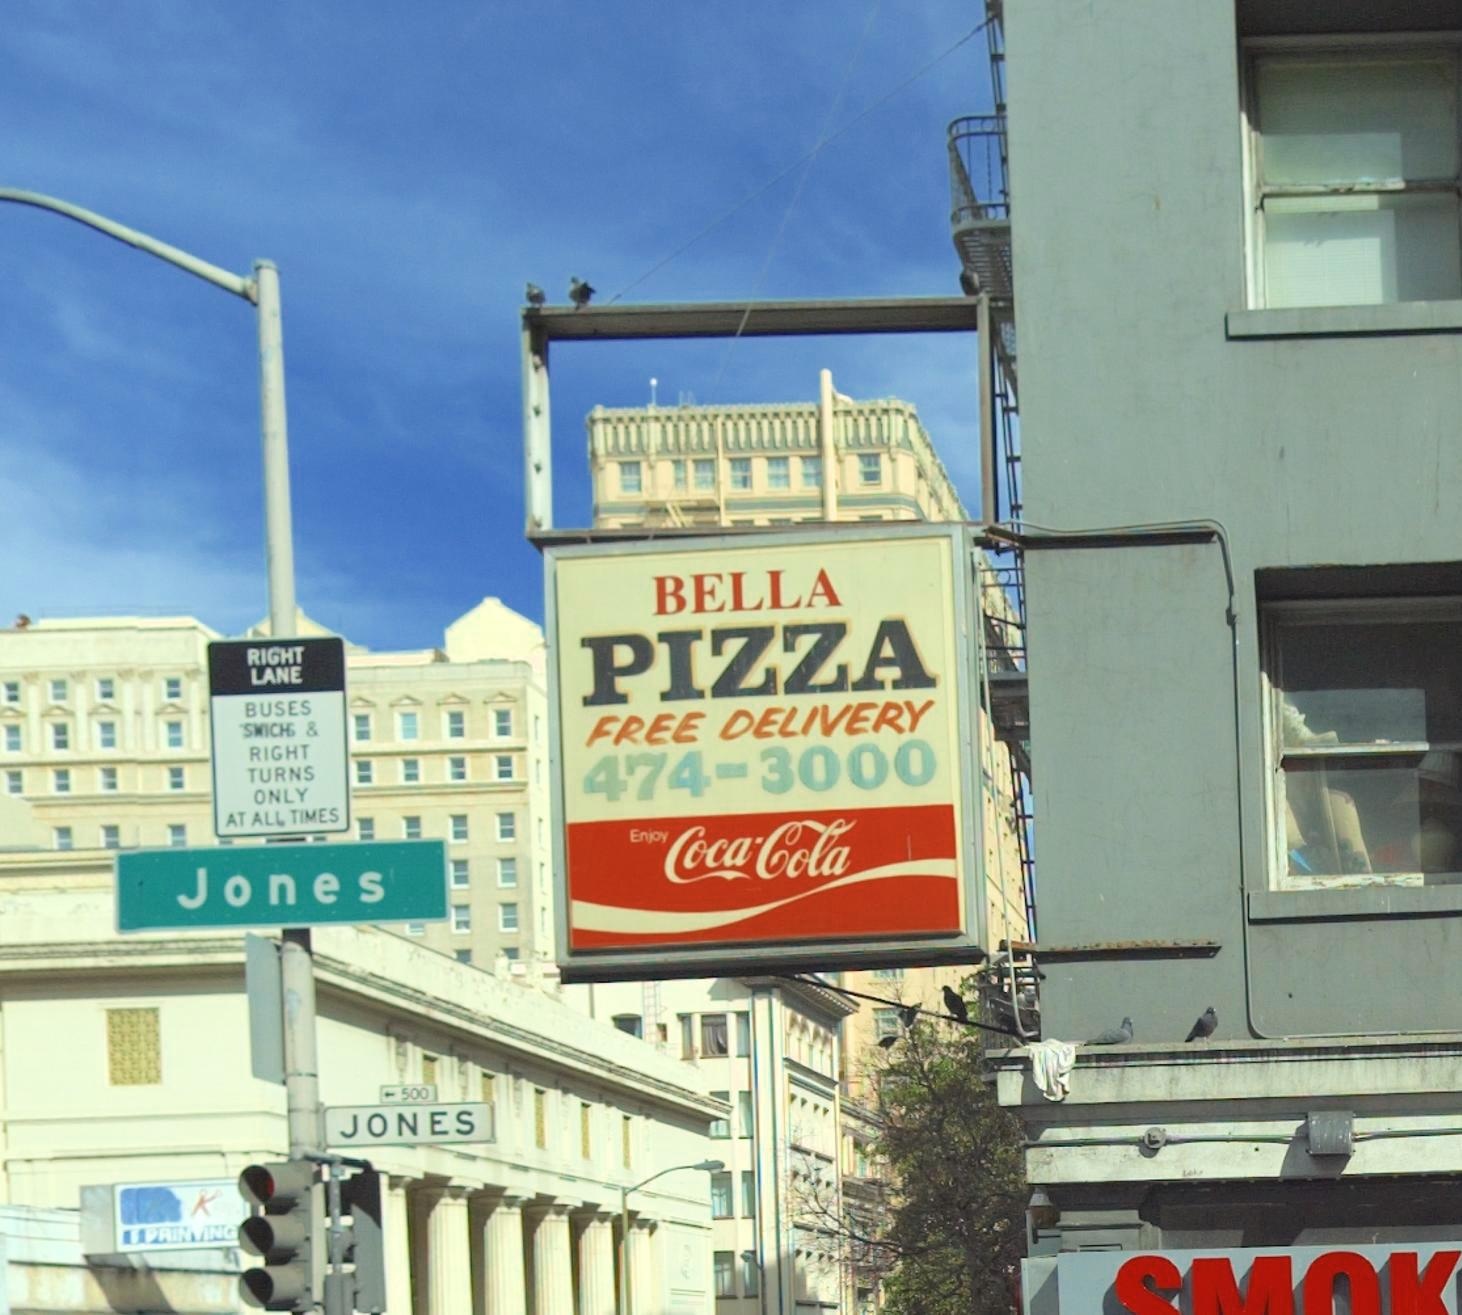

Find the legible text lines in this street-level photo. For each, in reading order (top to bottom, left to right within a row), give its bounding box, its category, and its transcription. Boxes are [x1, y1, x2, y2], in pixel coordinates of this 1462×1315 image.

[648, 563, 849, 622] BusinessName: BELLA
[244, 643, 308, 669] None: RIGHT
[248, 663, 306, 688] None: LANE
[575, 613, 945, 712] BusinessName: PIZZA
[242, 696, 315, 722] None: BUSES
[241, 718, 298, 742] None: SWIC**
[576, 694, 941, 753] None: FREE DELIVERY
[247, 741, 313, 766] None: RIGHT
[244, 762, 319, 787] None: TURNS
[579, 734, 942, 807] None: 474-3000
[249, 784, 314, 809] None: ONLY
[220, 804, 343, 833] None: AT ALL TIMES
[626, 825, 672, 846] None: Enjoy
[661, 816, 860, 887] None: Coca Cola
[171, 862, 390, 915] StreetName: Jones
[381, 1083, 432, 1104] StreetNumberRange: <-500
[335, 1107, 478, 1144] StreetName: JONES
[143, 1221, 240, 1248] BusinessName: PRIN*ING